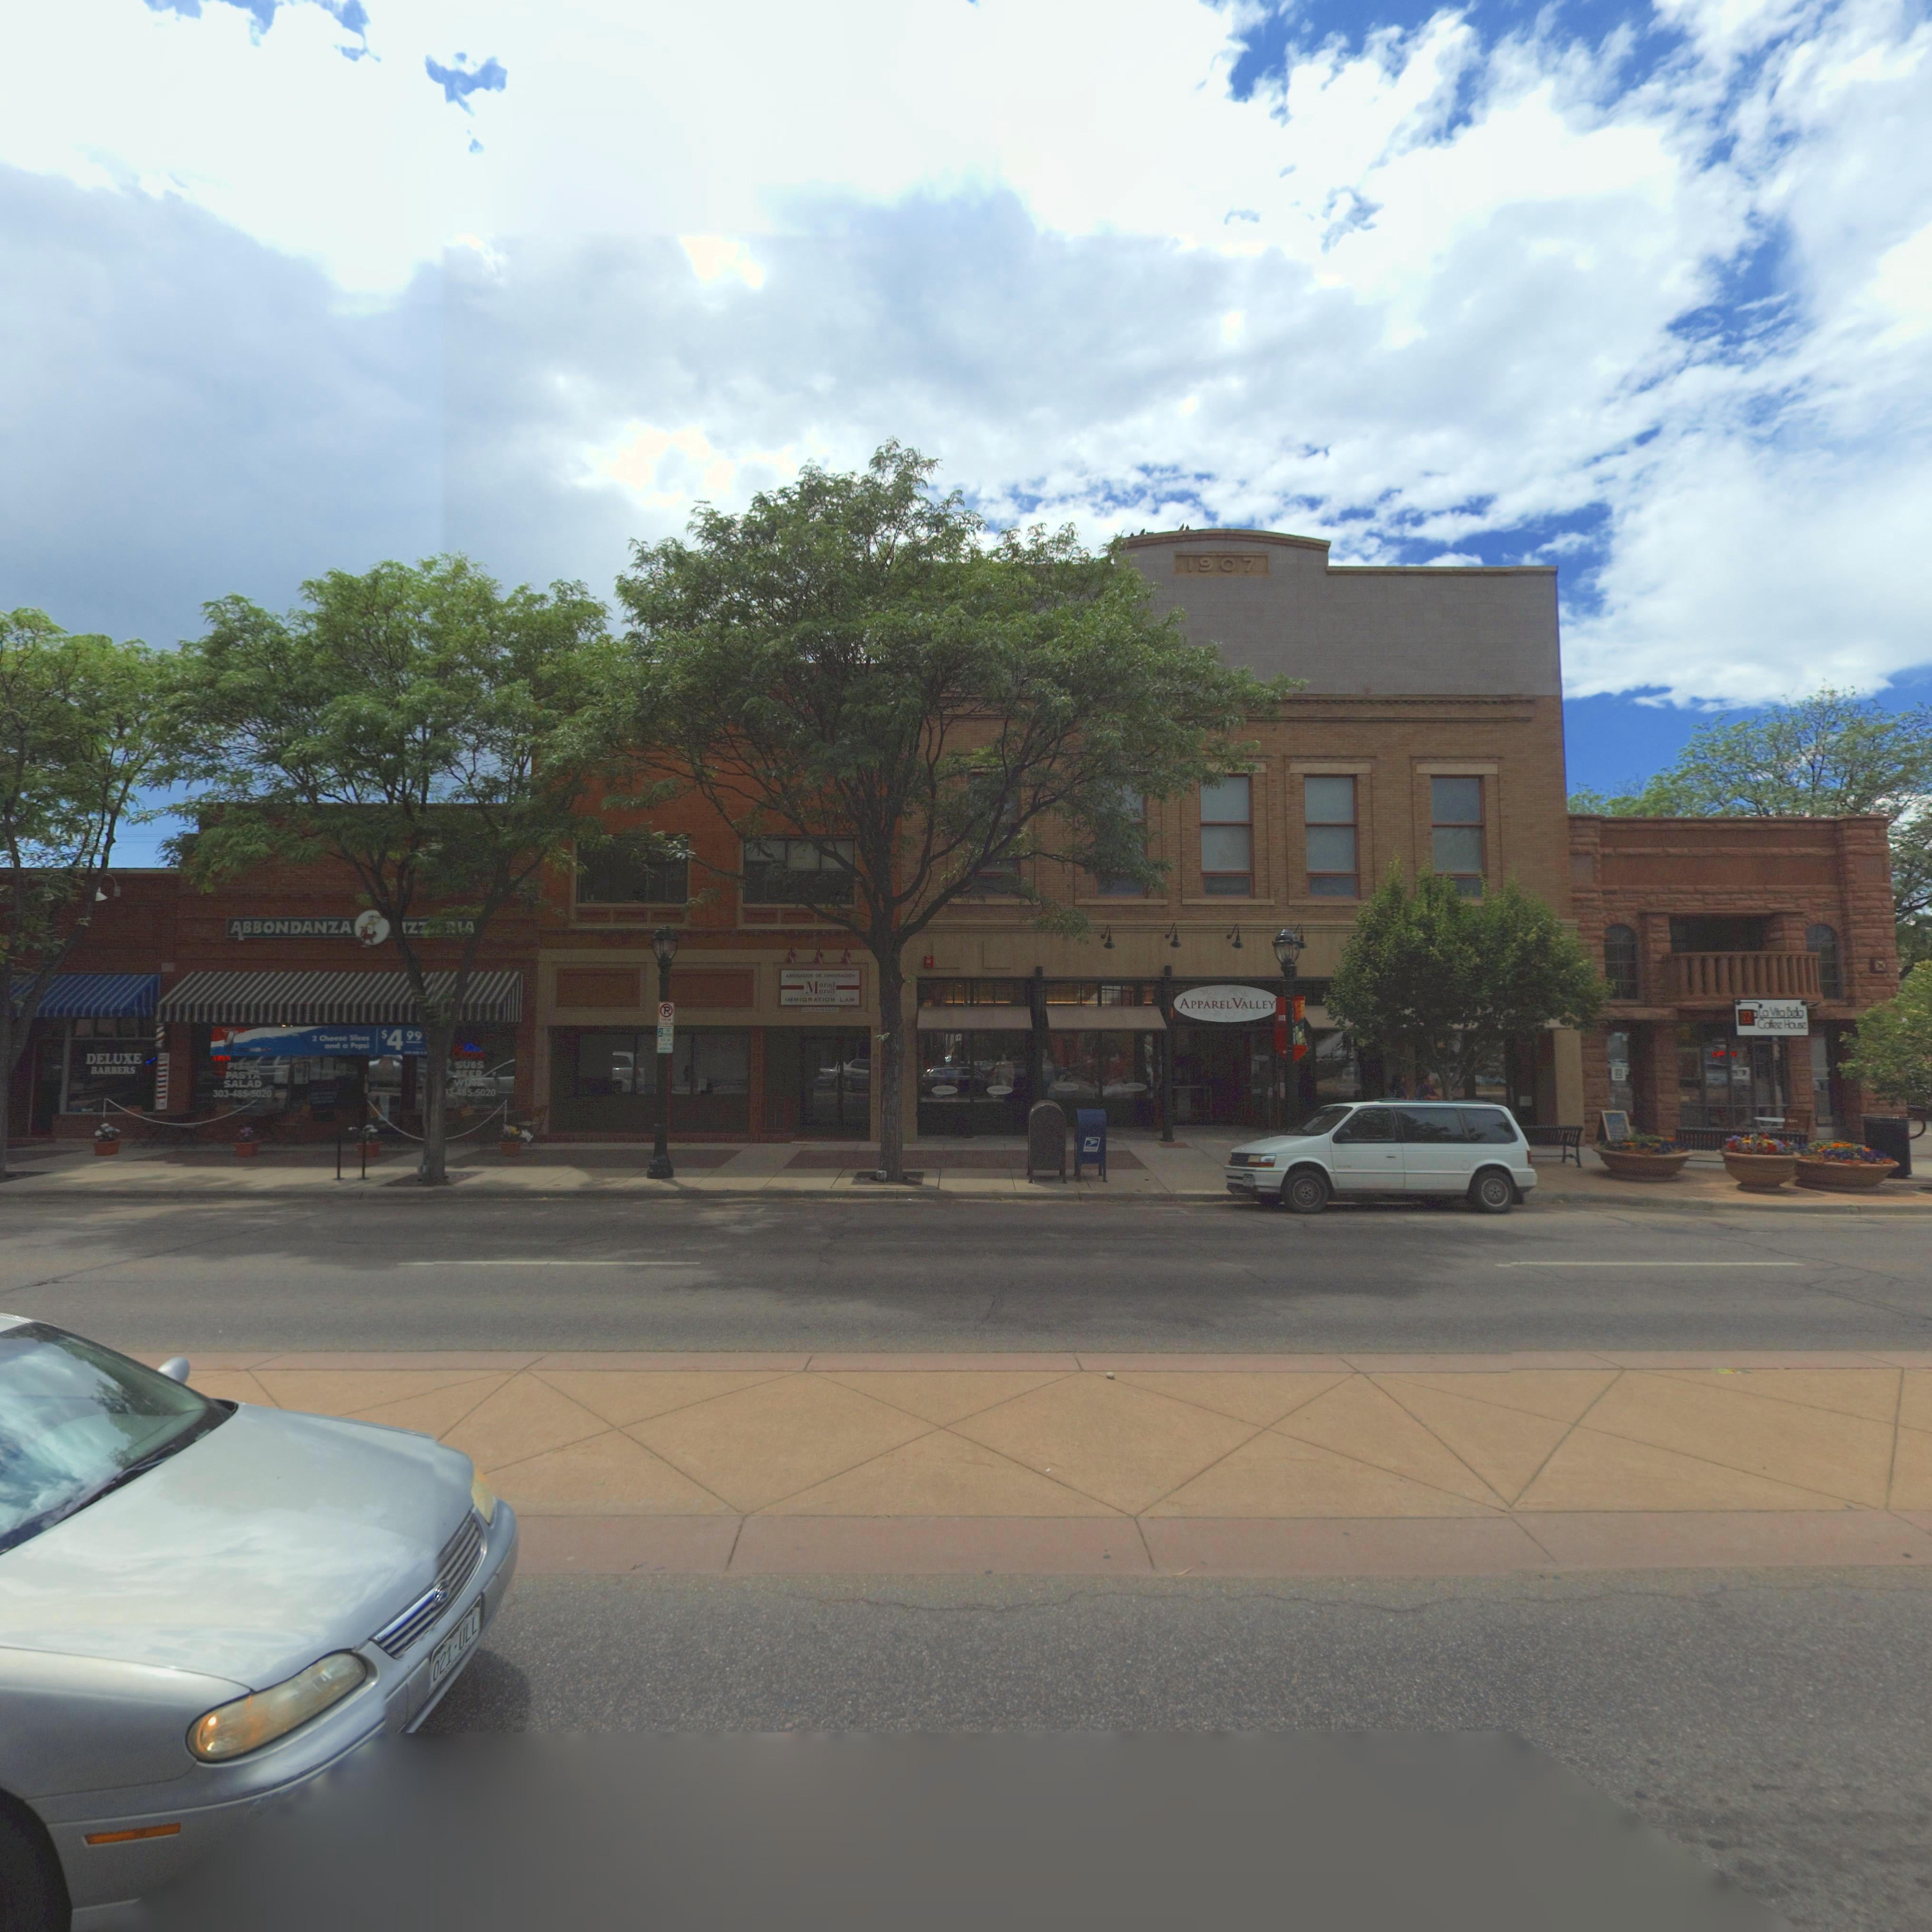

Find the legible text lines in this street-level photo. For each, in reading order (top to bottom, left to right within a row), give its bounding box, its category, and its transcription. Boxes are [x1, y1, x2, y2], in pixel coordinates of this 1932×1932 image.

[229, 920, 477, 942] BusinessName: ABBONDANZA *IZZ*RIA
[819, 981, 835, 988] BusinessName: *urad
[819, 987, 835, 994] BusinessName: *urad
[1179, 997, 1276, 1009] BusinessName: APPAREL VALLEY
[1758, 1005, 1805, 1017] BusinessName: La Vita Be**a
[1757, 1018, 1807, 1029] BusinessName: Coffee House
[86, 1052, 143, 1064] BusinessName: DELUXE
[90, 1066, 136, 1074] BusinessName: BARBERS